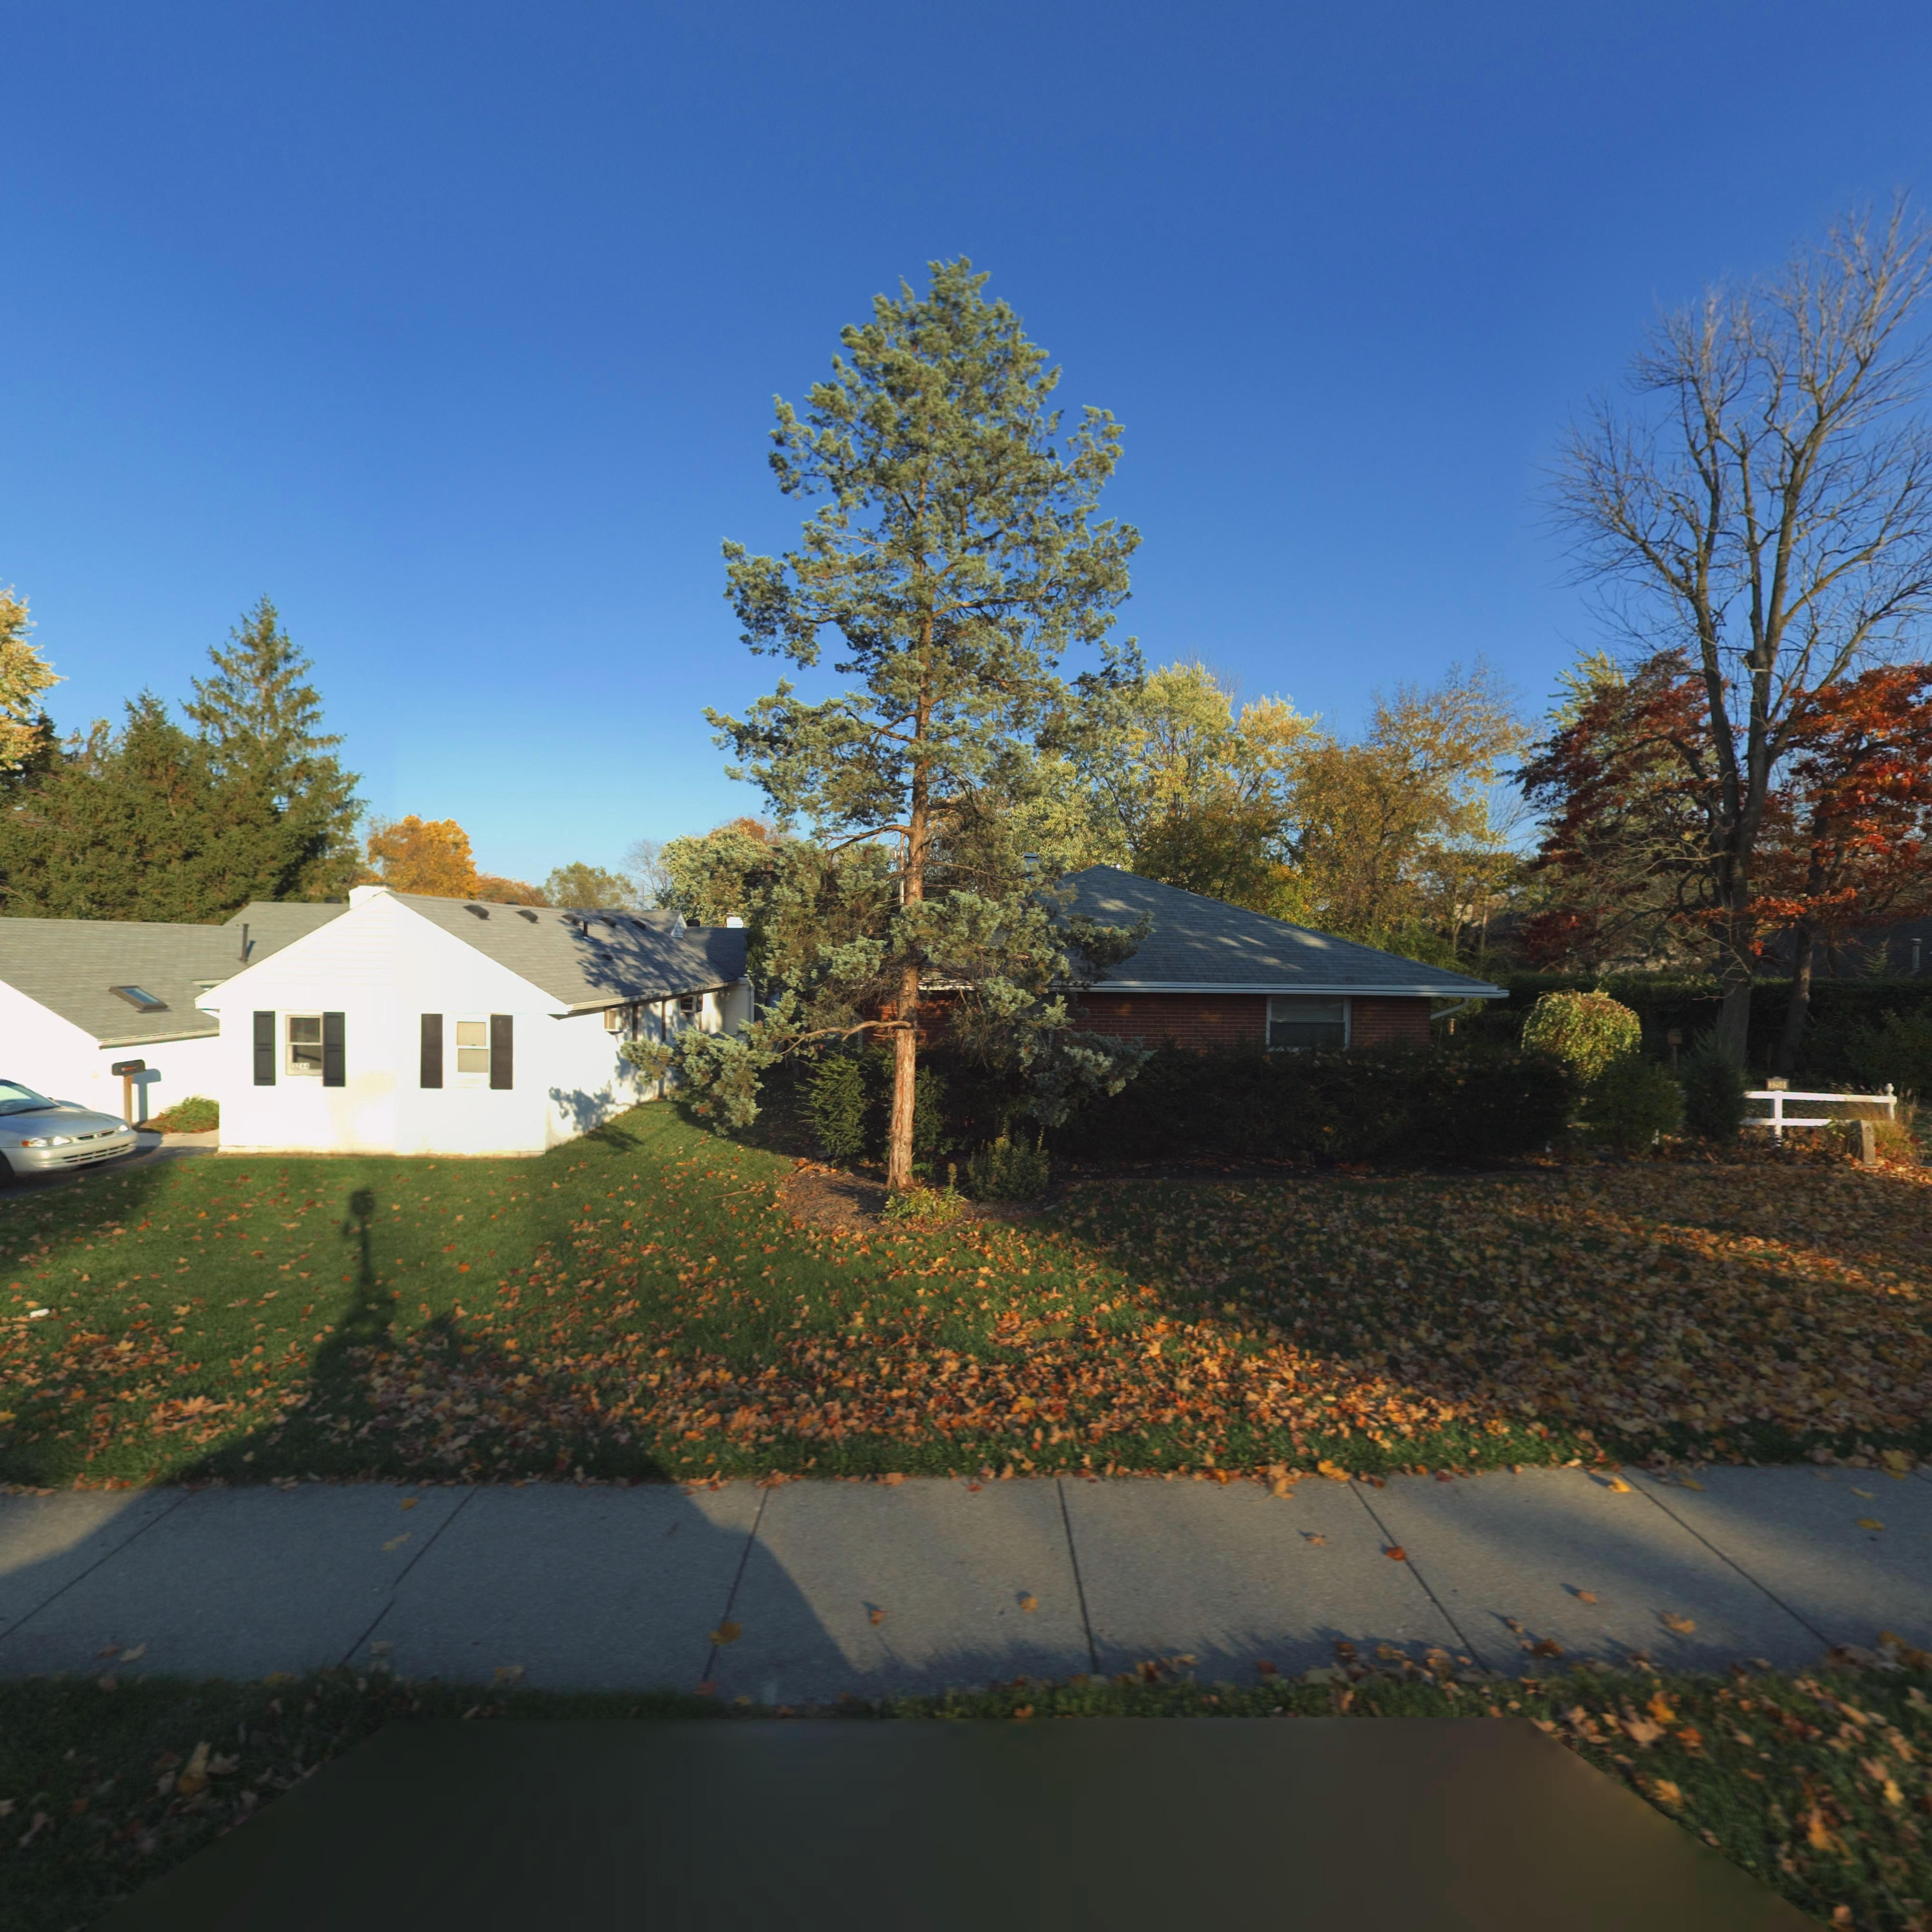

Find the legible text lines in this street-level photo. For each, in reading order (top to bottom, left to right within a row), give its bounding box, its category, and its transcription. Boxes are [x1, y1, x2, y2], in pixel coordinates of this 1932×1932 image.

[292, 1063, 309, 1070] StreetNumber: 32**